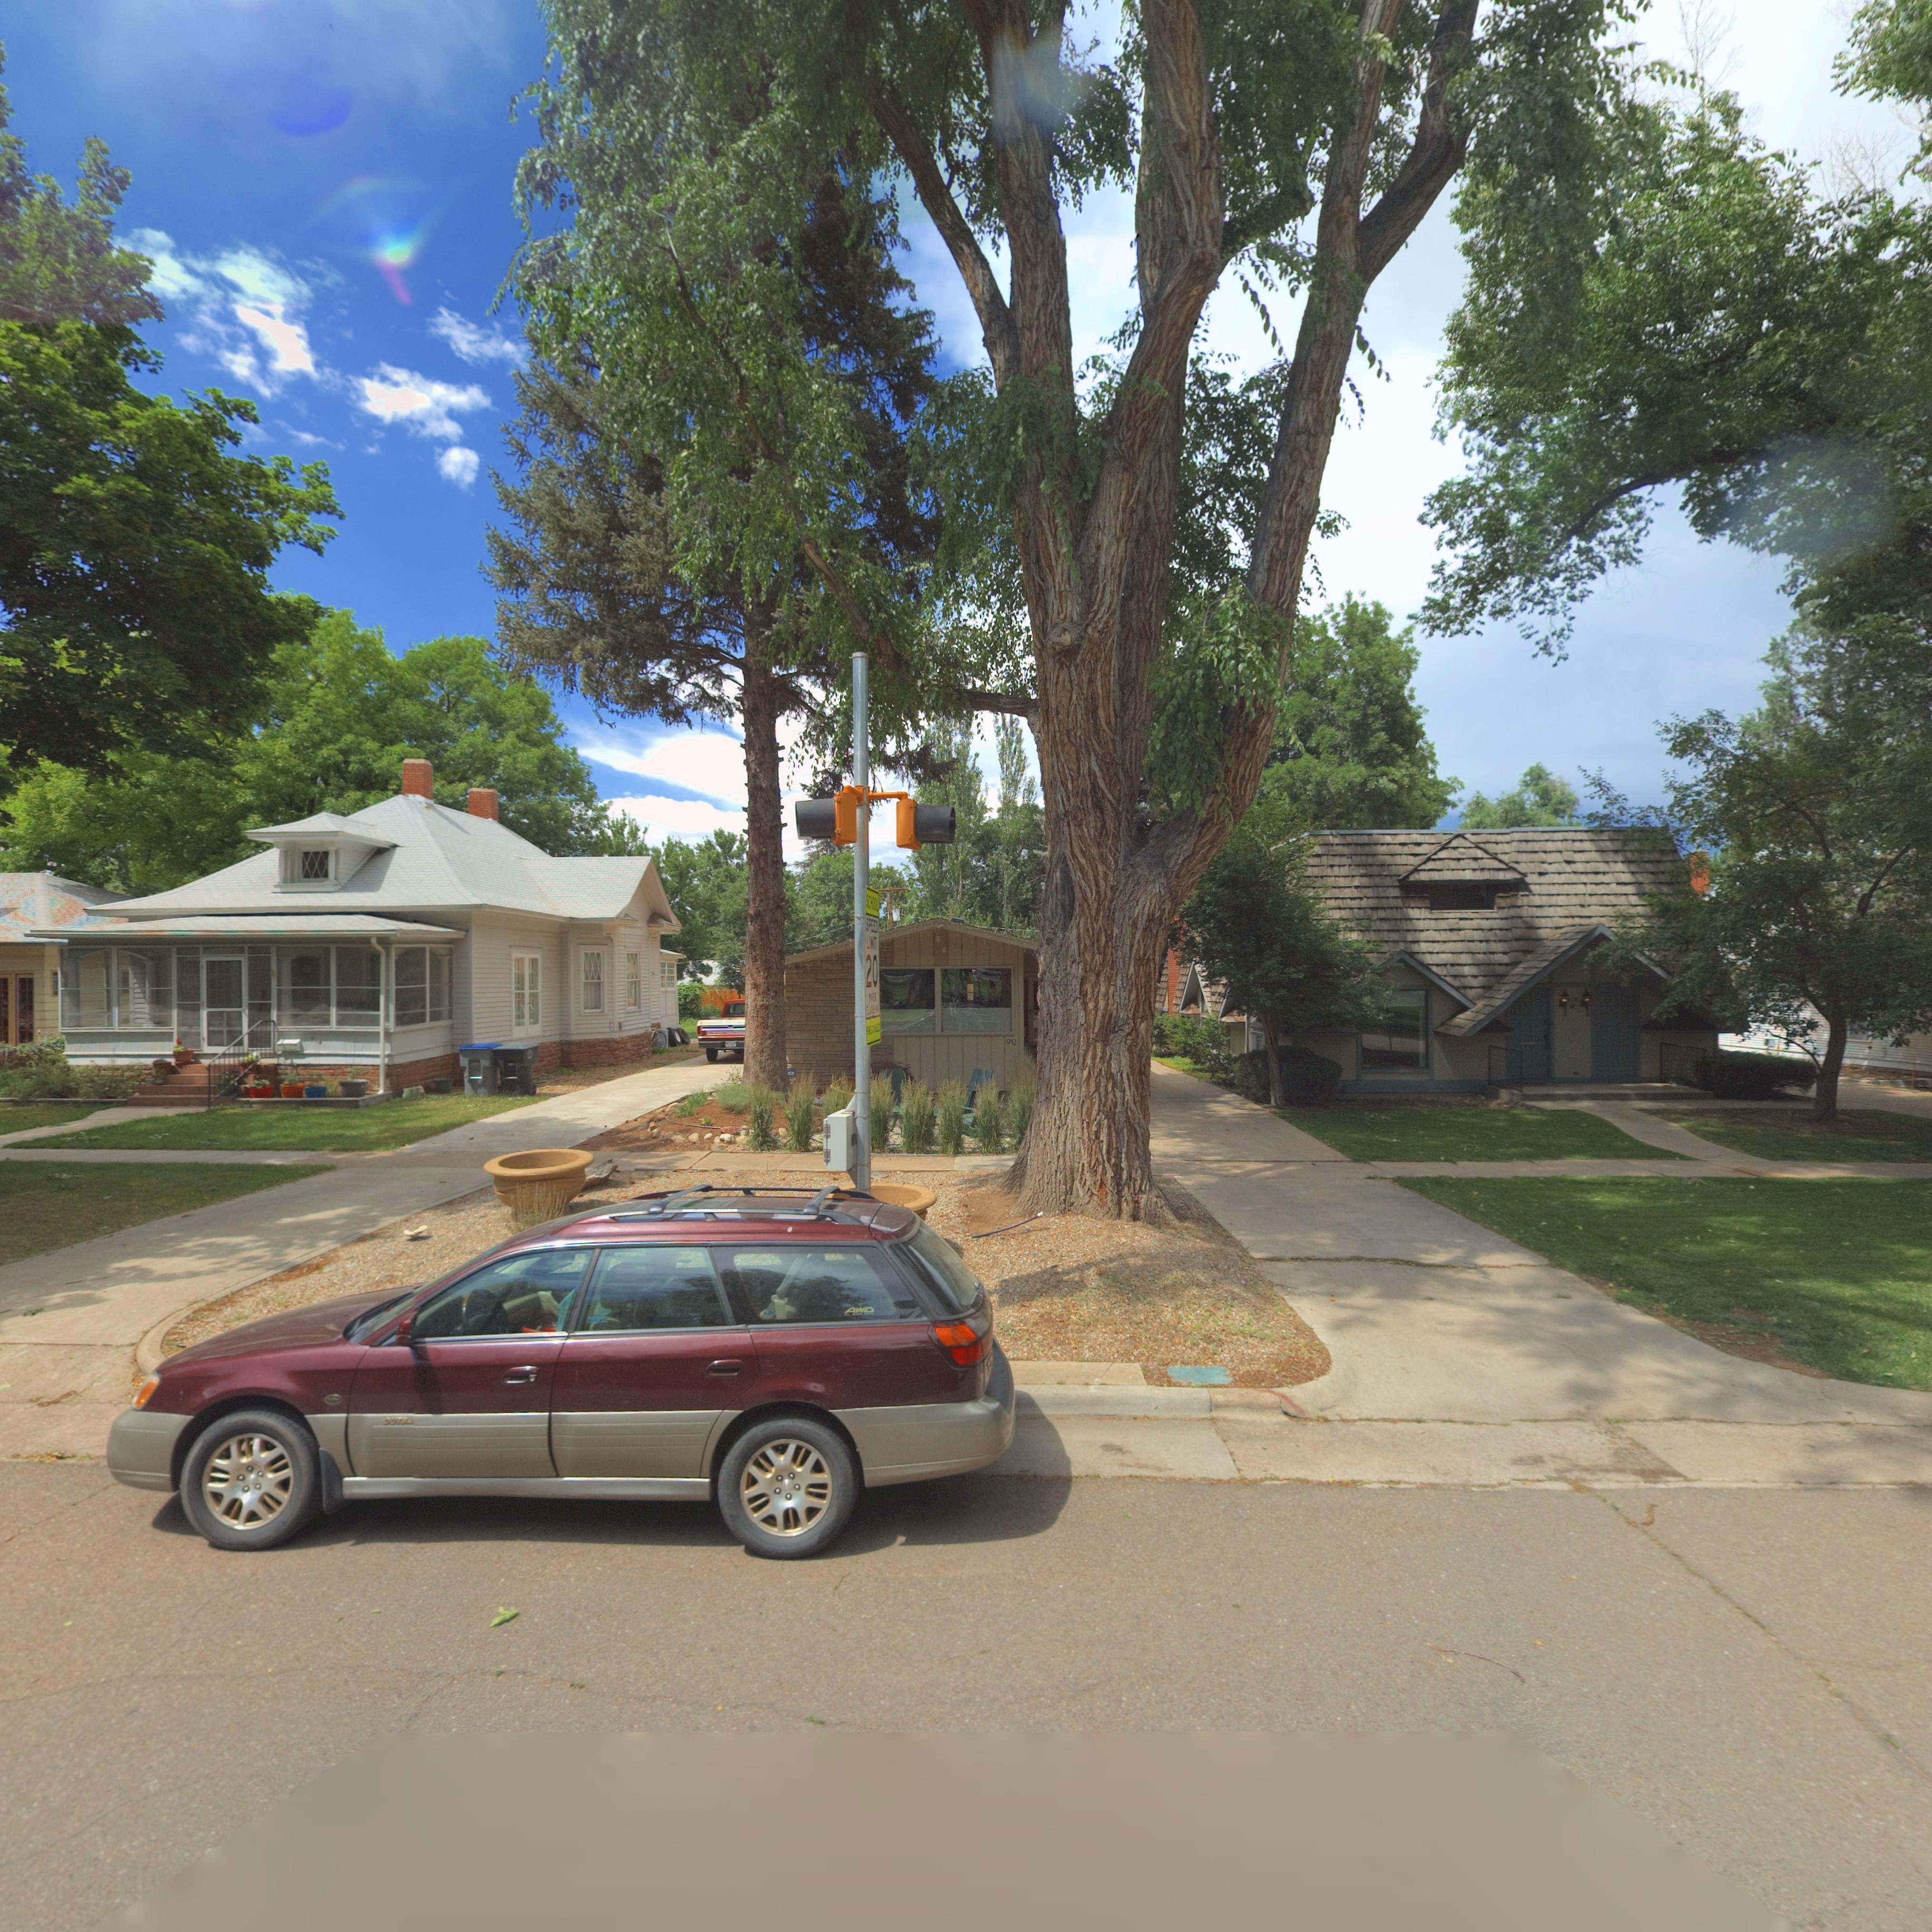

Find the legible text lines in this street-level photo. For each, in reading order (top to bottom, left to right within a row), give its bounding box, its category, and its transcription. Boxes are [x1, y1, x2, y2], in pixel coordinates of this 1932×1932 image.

[310, 1035, 323, 1046] StreetNumber: 914